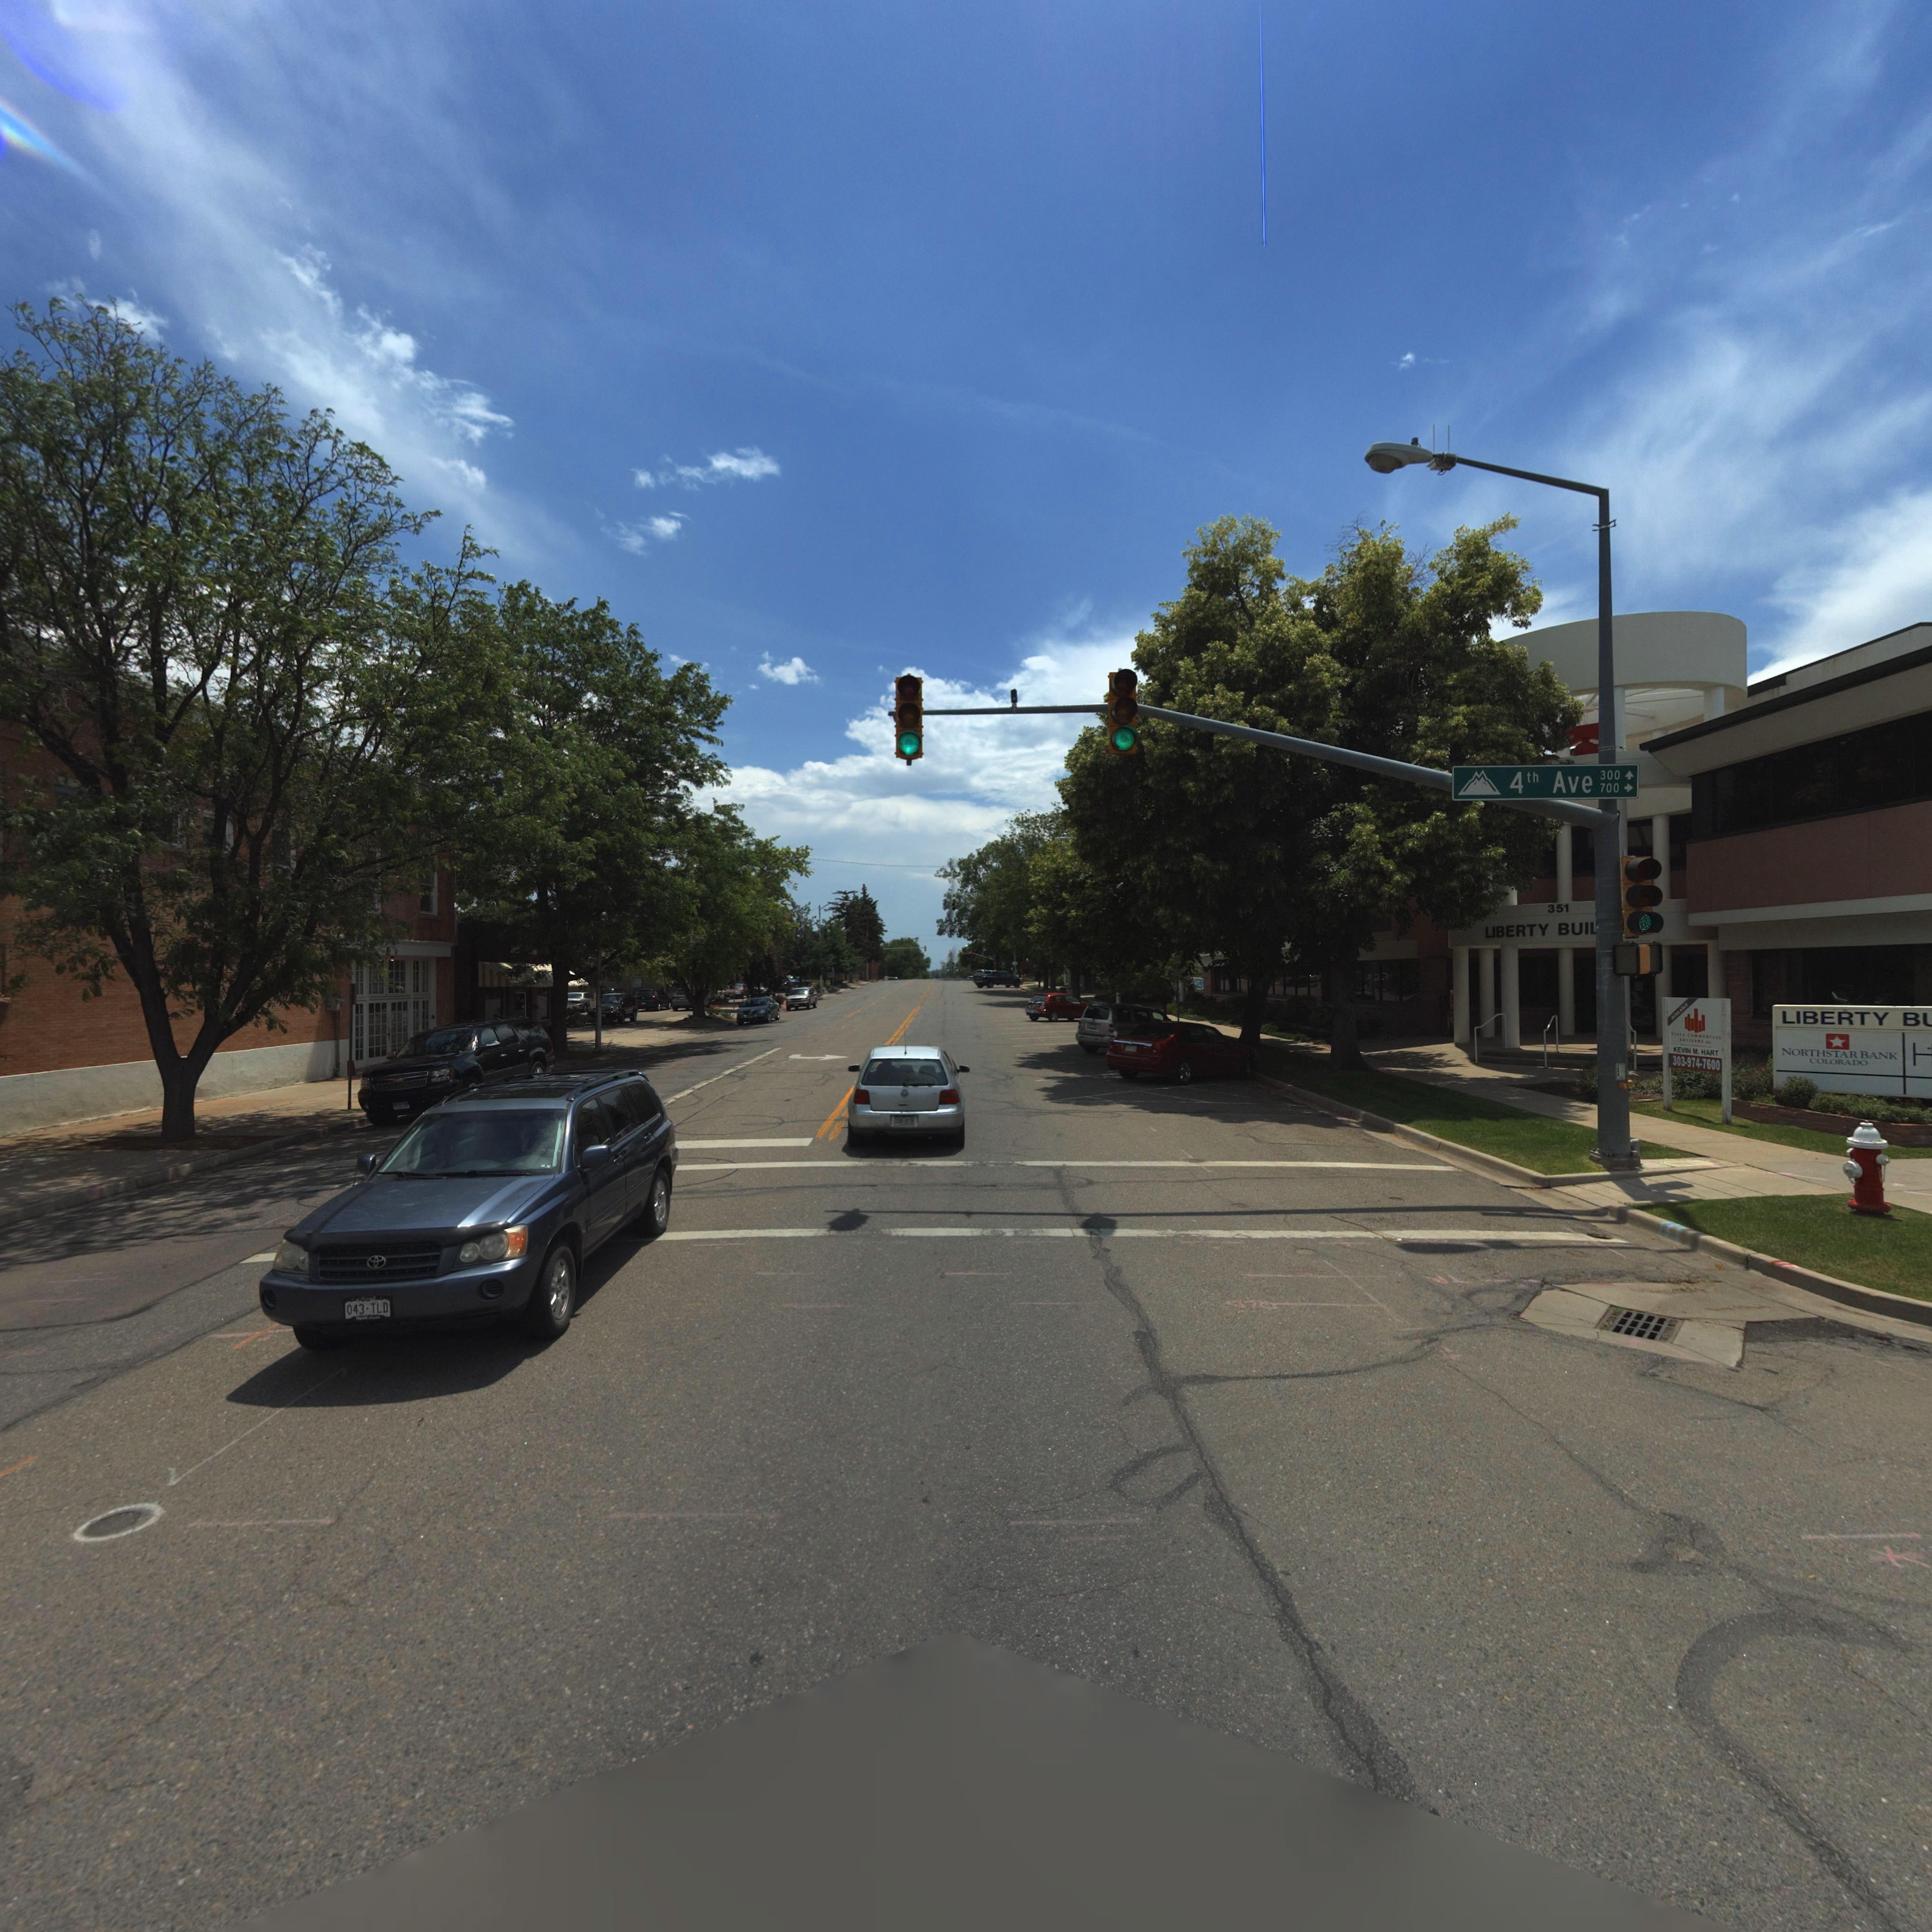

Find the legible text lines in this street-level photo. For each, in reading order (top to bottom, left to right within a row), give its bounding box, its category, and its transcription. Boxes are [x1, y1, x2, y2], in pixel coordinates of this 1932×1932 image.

[1599, 770, 1620, 780] StreetNumberRange: 300
[1509, 771, 1593, 793] StreetName: 4th Ave
[1599, 783, 1634, 792] StreetNumberRange: 700->
[1547, 903, 1569, 913] StreetNumber: 351
[1780, 1047, 1898, 1060] BusinessName: NORTHSTAR BANK
[1809, 1057, 1868, 1066] BusinessName: COLORADO